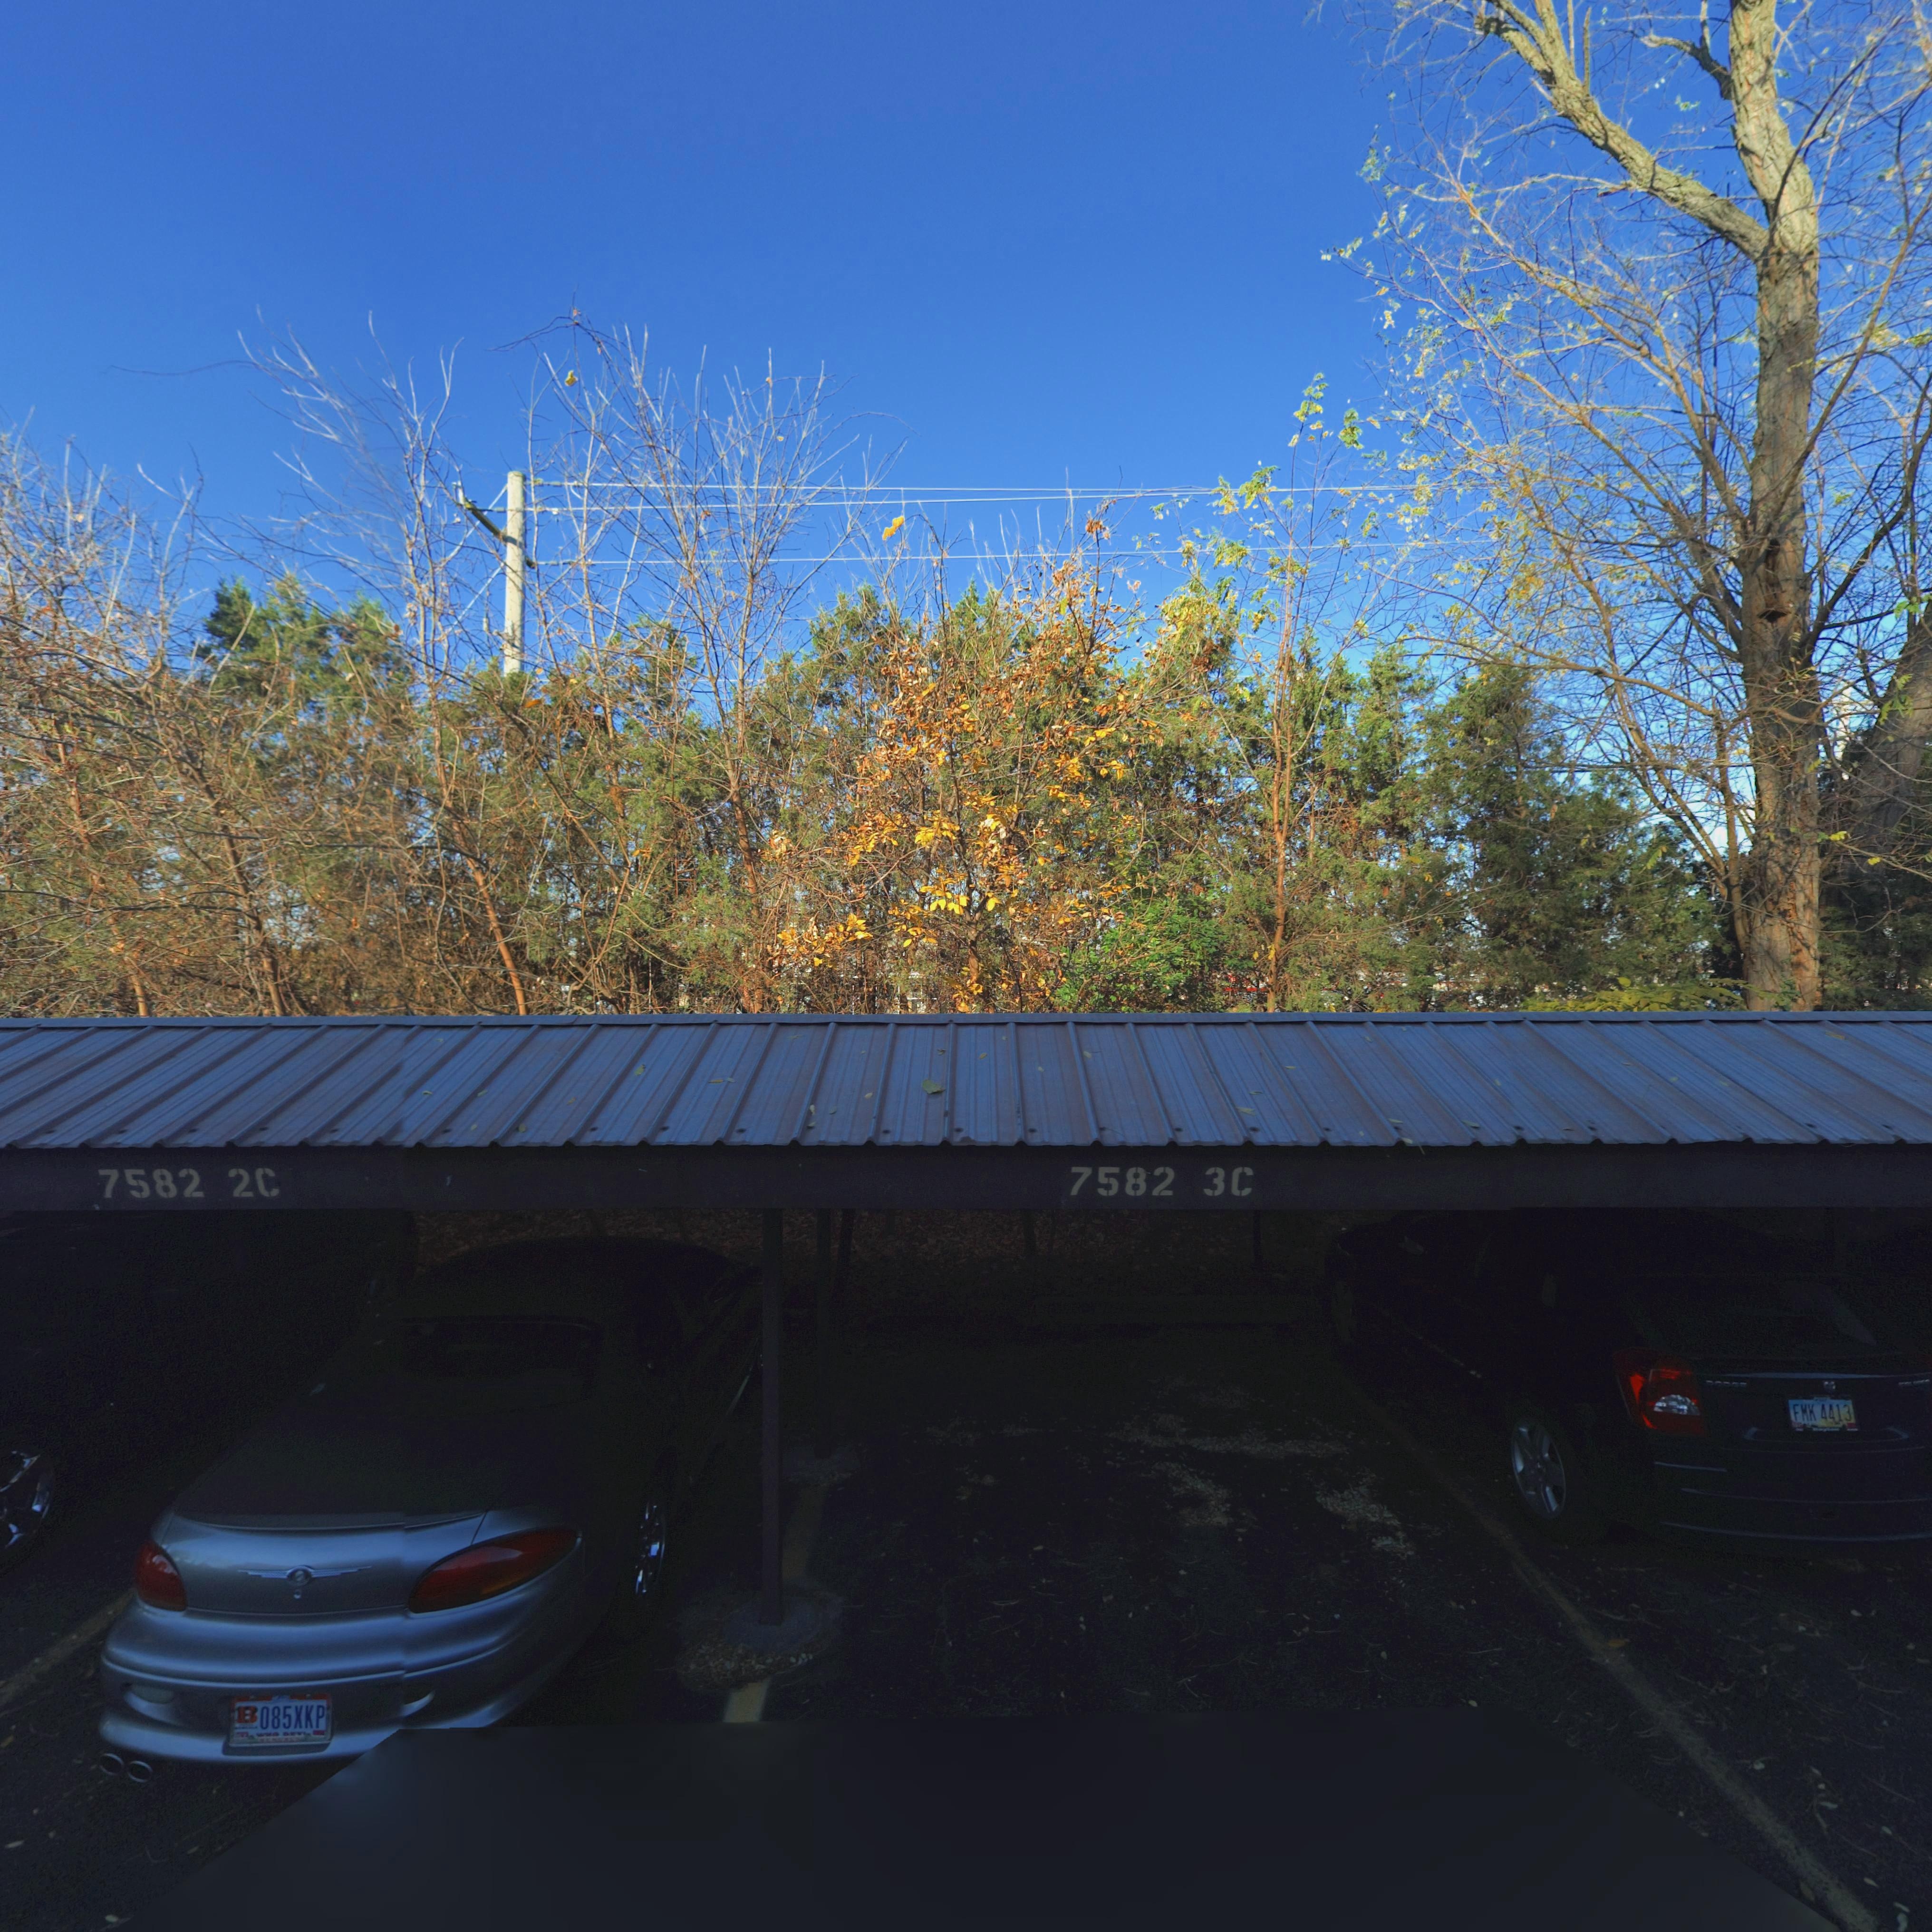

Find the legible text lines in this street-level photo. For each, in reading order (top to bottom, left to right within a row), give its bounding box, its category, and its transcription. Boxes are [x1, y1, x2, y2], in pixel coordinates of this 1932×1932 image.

[96, 1167, 206, 1199] StreetNumber: 7582
[1069, 1165, 1176, 1197] StreetNumber: 7582